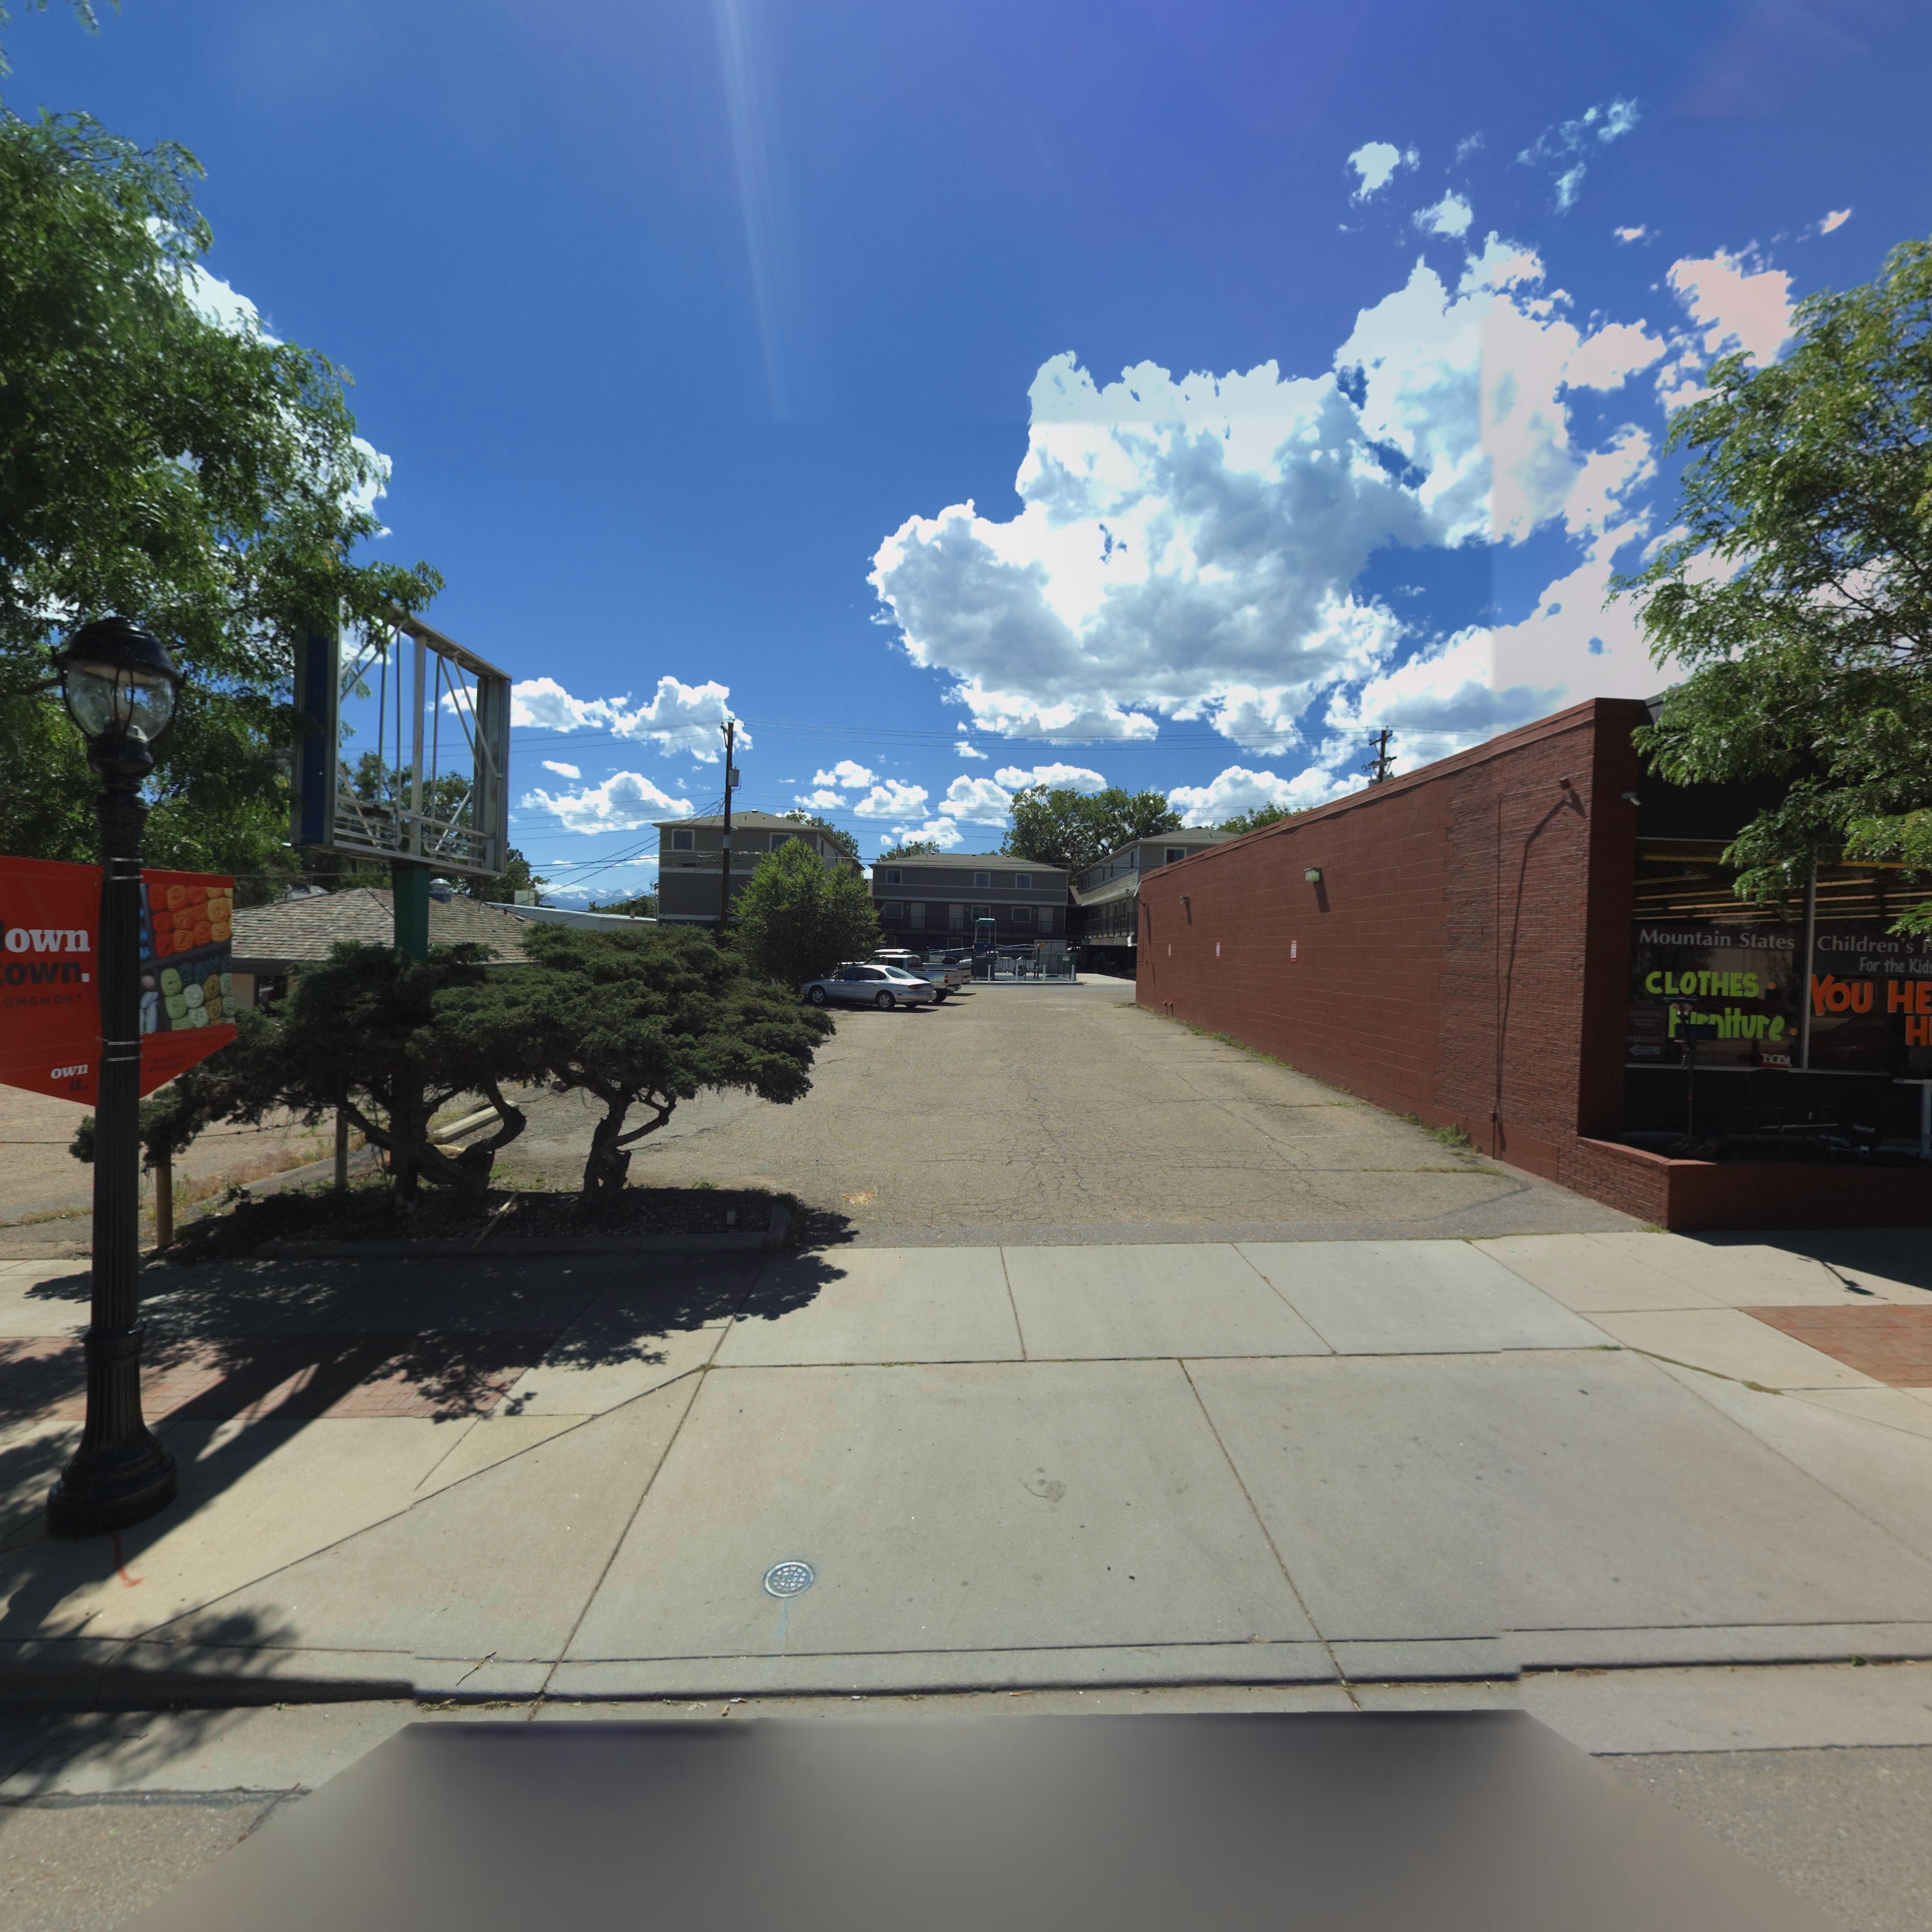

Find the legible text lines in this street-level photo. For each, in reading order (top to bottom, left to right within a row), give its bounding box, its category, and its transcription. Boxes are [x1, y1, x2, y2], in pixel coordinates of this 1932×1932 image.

[1638, 928, 1914, 954] BusinessName: Mountain States Children's